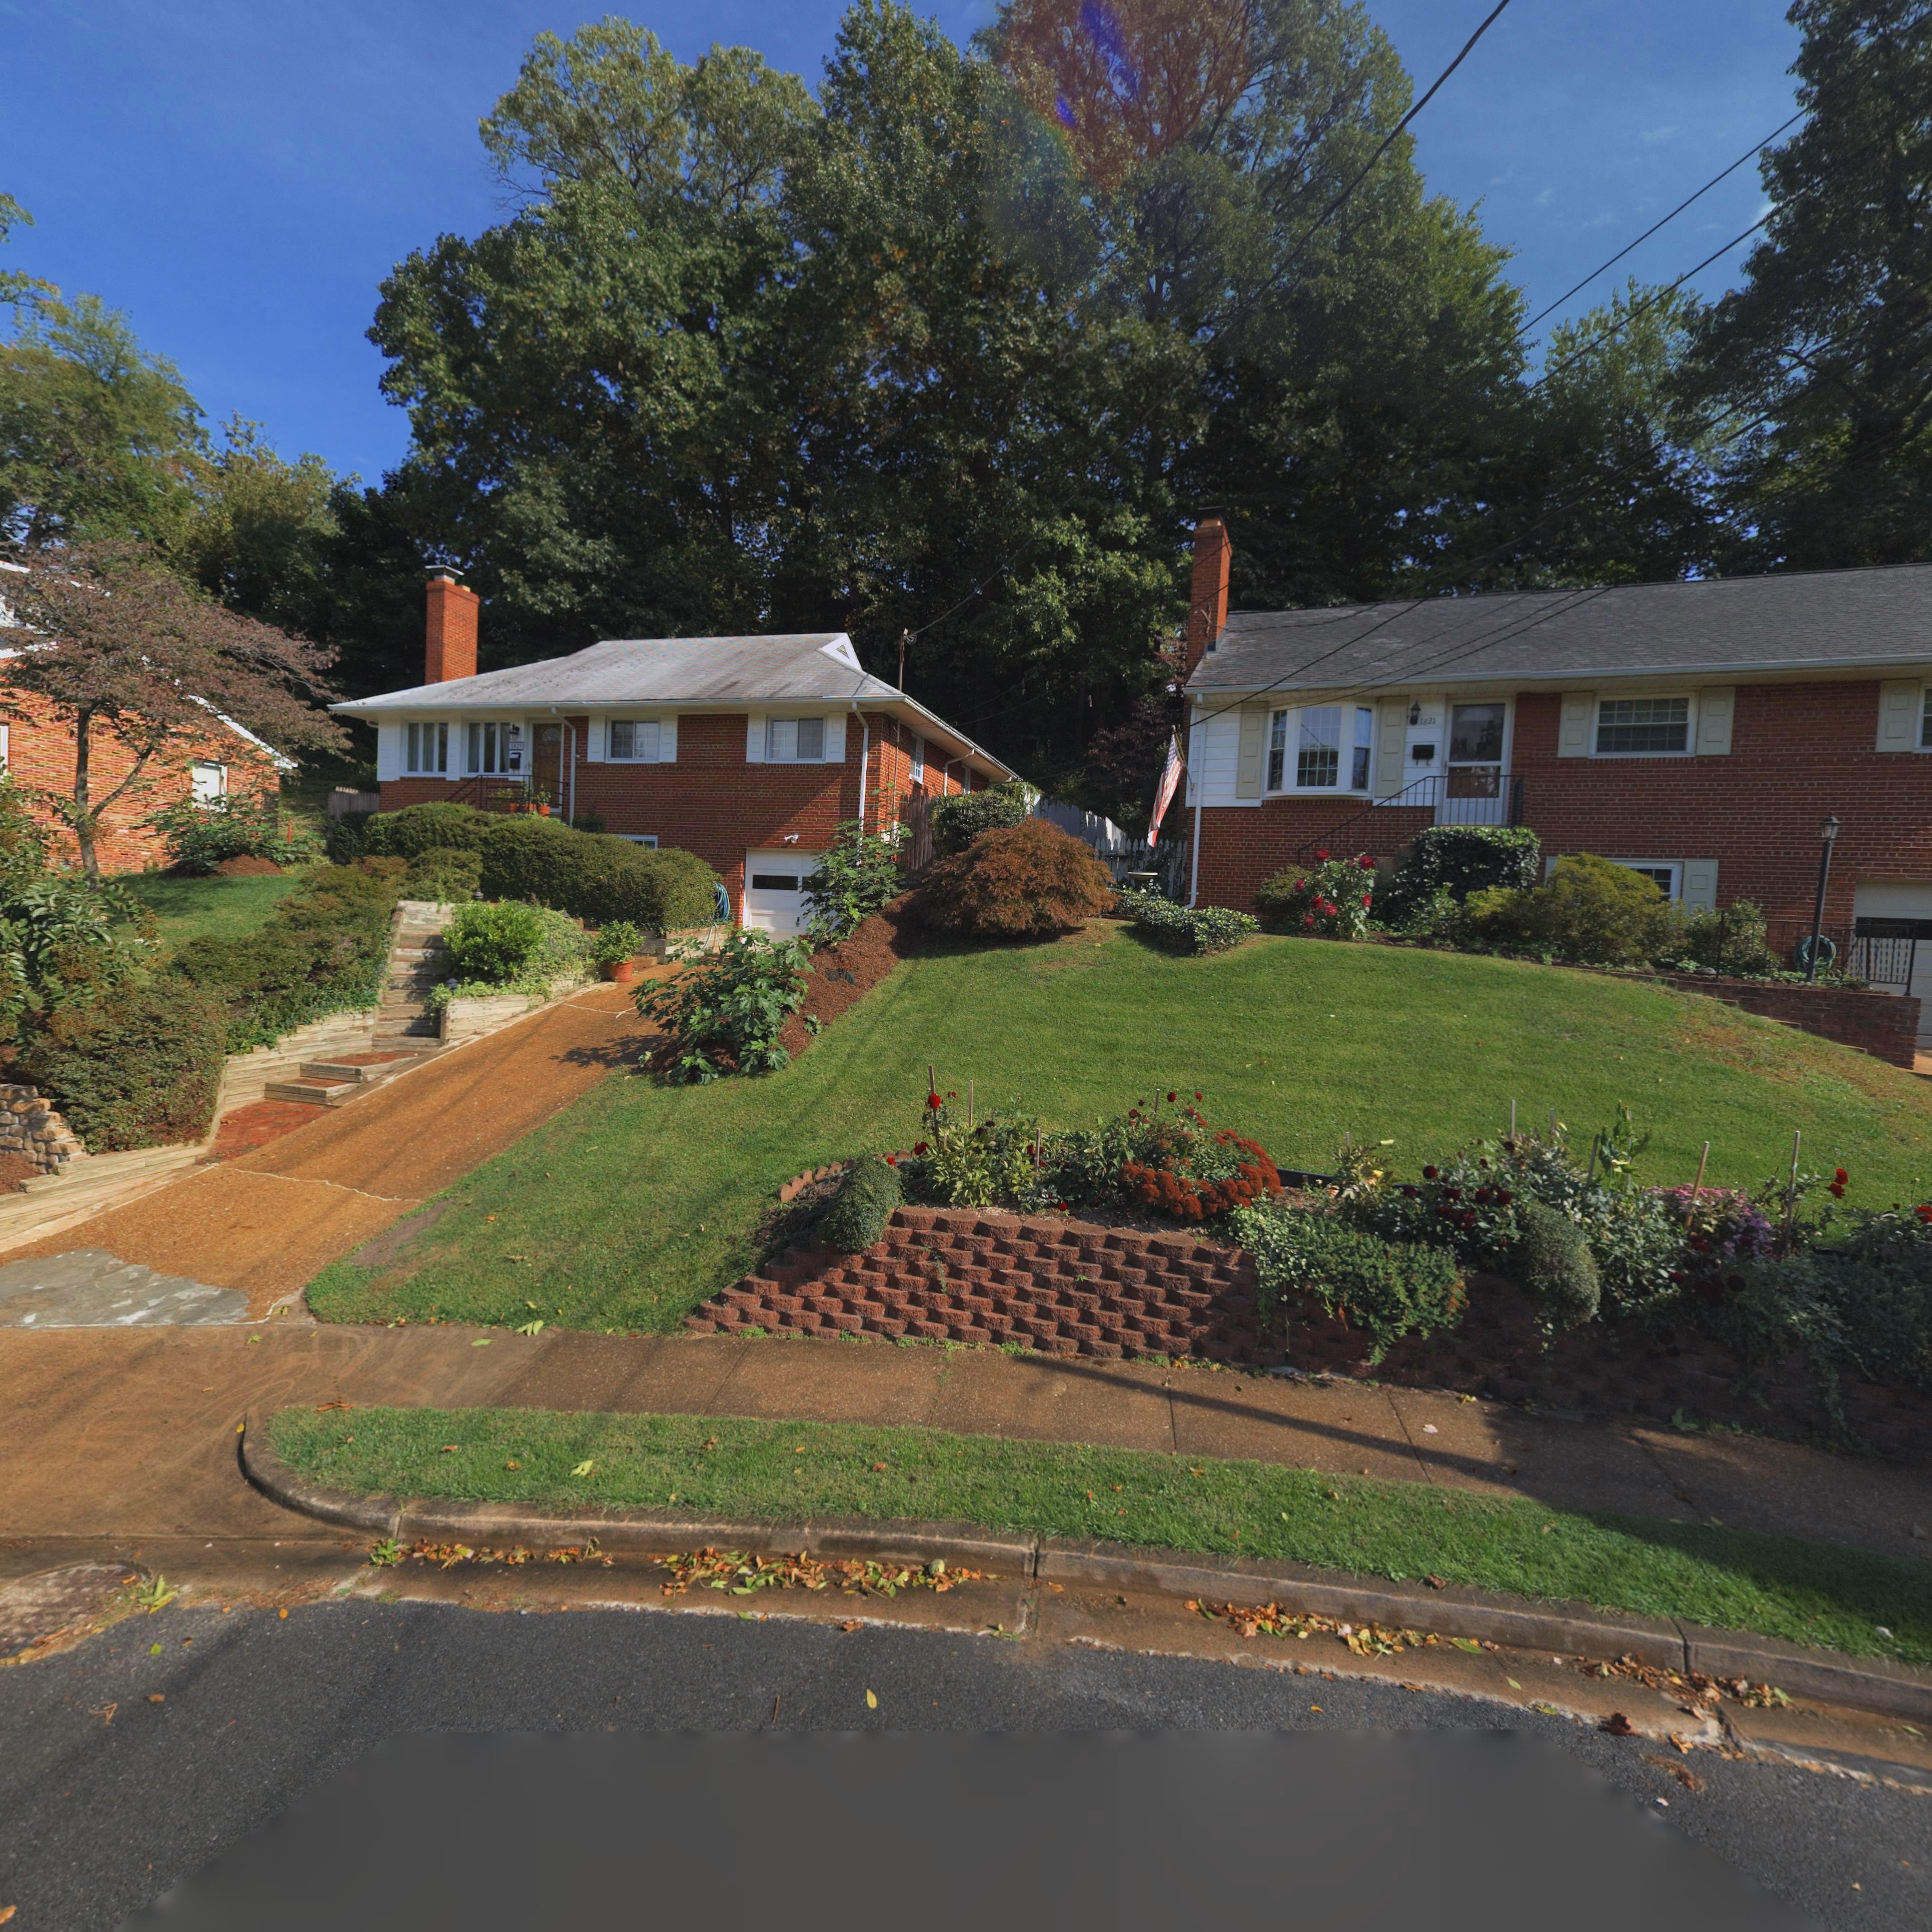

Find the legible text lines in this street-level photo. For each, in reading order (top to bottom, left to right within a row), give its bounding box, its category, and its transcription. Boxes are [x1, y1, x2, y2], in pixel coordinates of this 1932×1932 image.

[1419, 716, 1436, 726] StreetNumber: 1821
[511, 743, 522, 749] StreetNumber: 1824